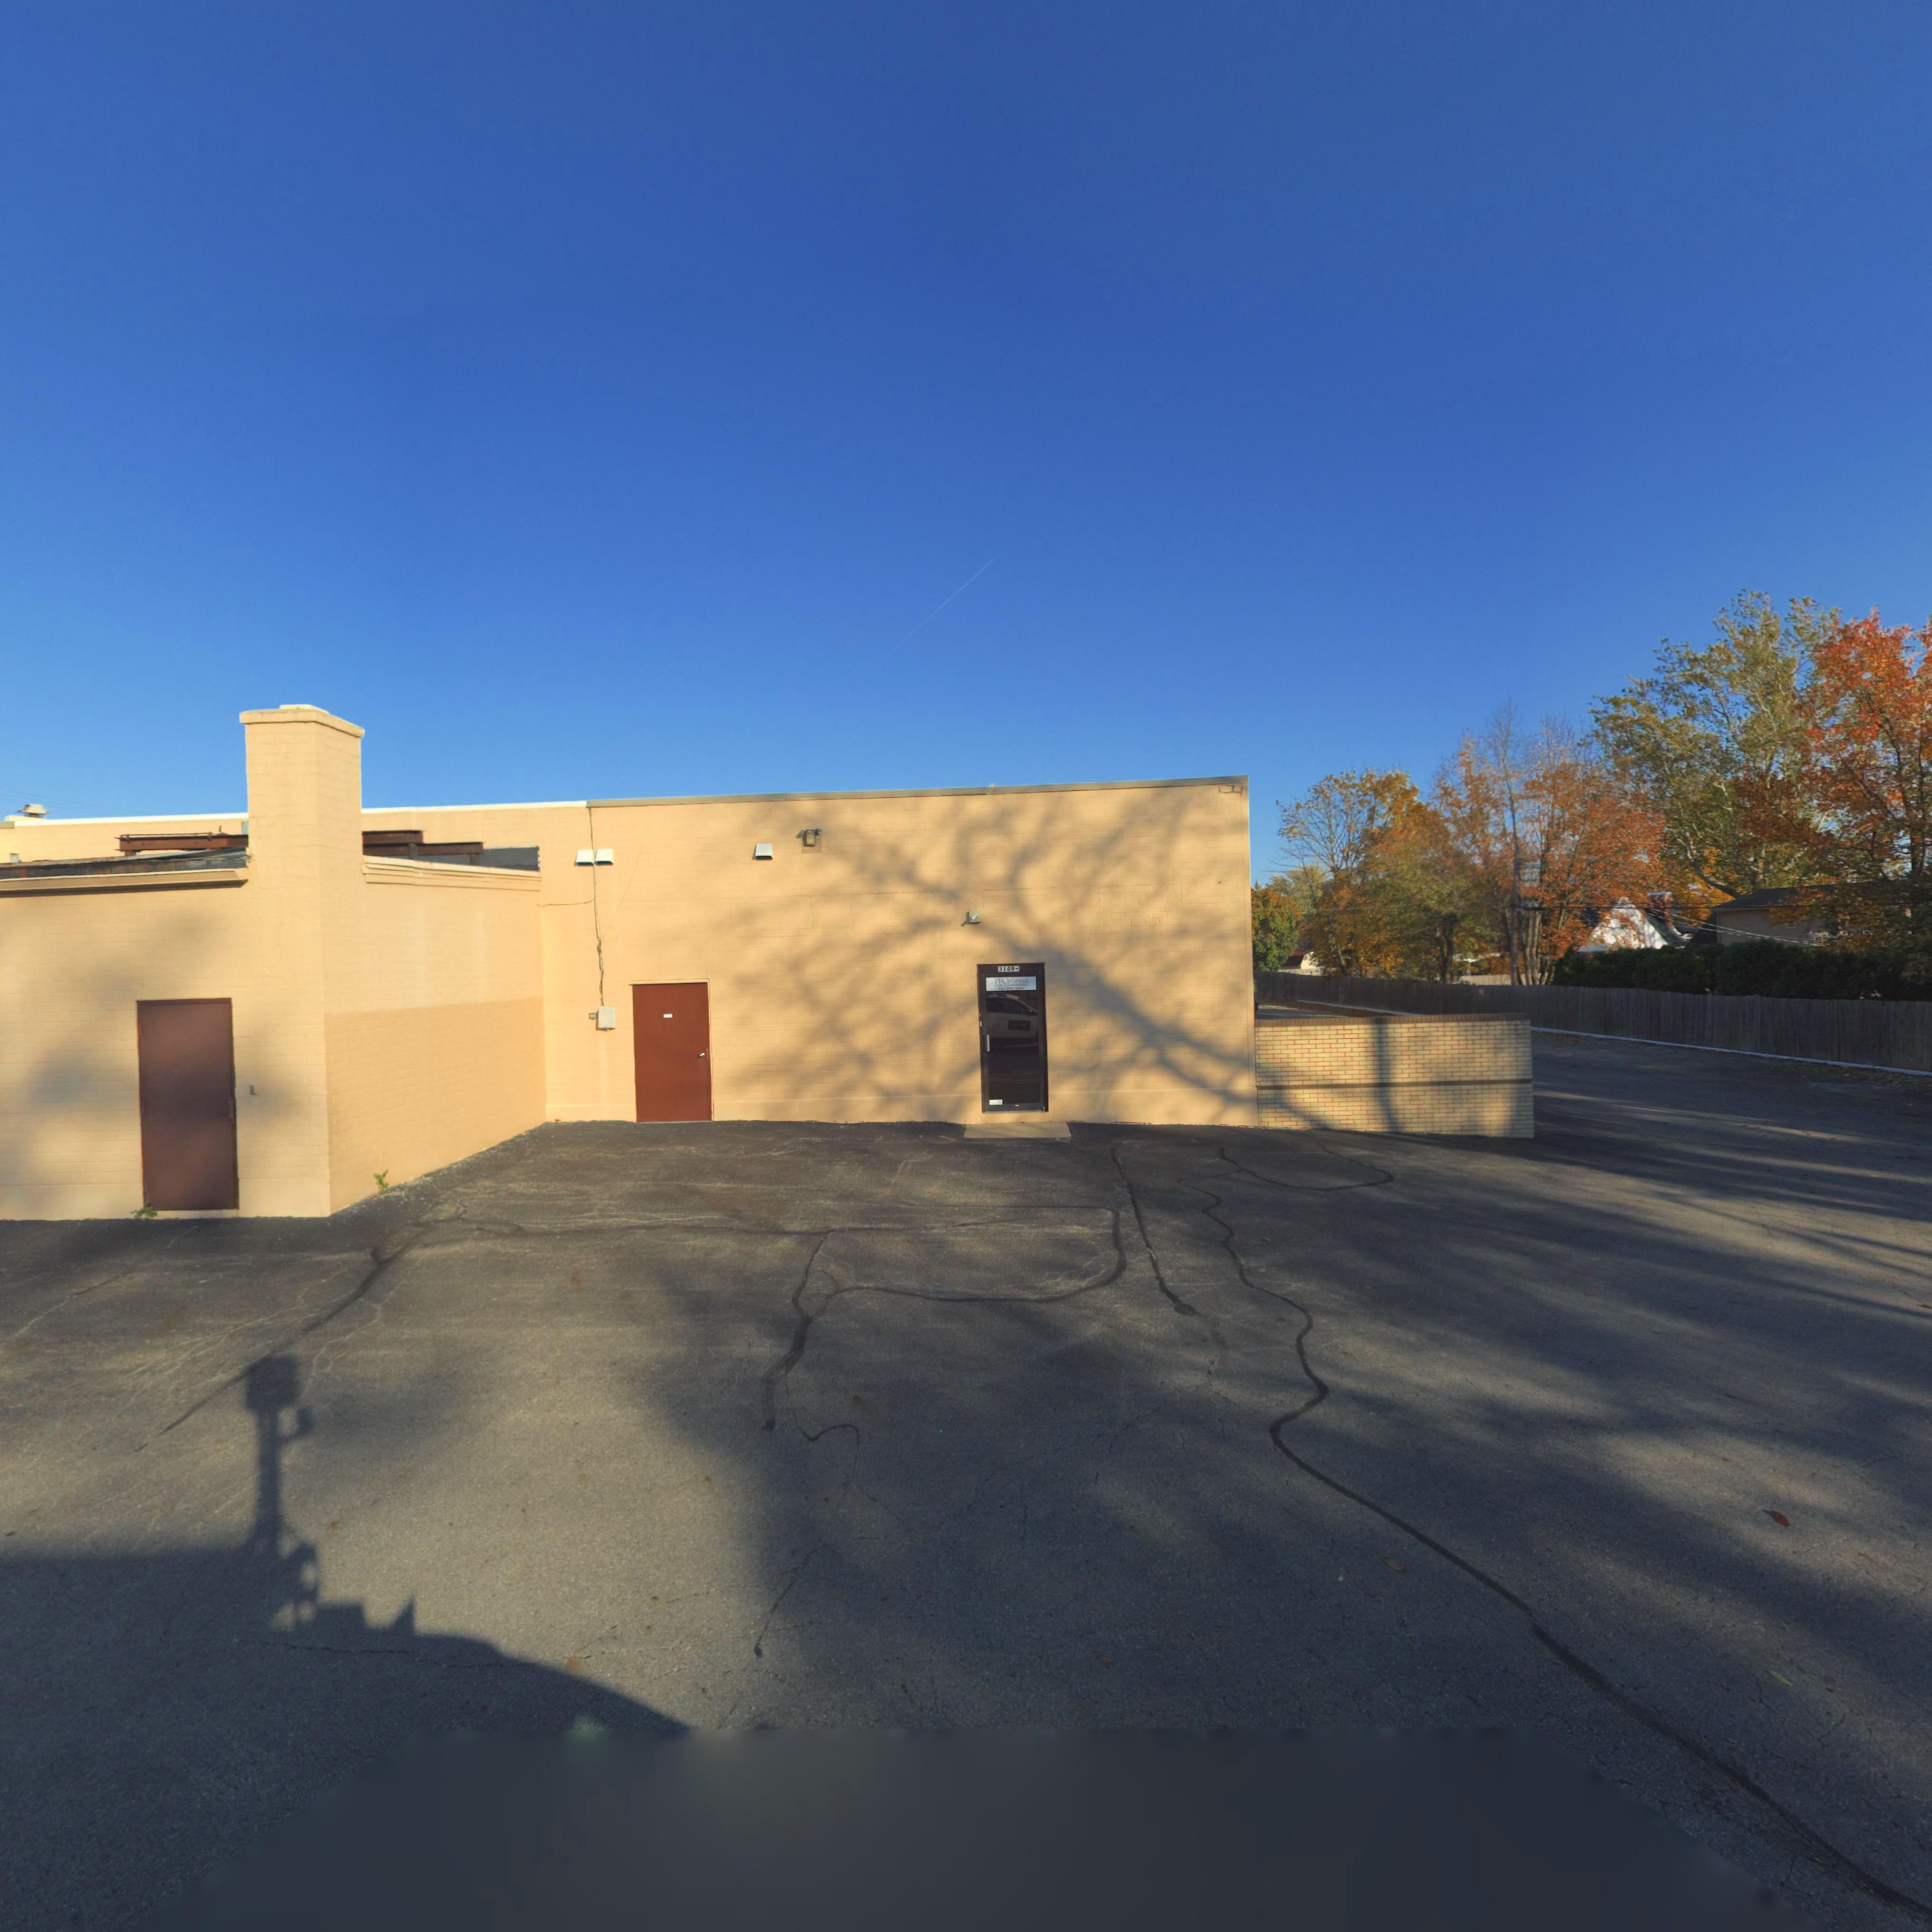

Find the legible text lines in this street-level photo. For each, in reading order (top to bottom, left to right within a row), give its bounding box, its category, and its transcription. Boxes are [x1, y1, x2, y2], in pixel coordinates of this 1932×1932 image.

[998, 966, 1015, 972] StreetNumber: 3149
[994, 977, 1029, 984] BusinessName: PROforma